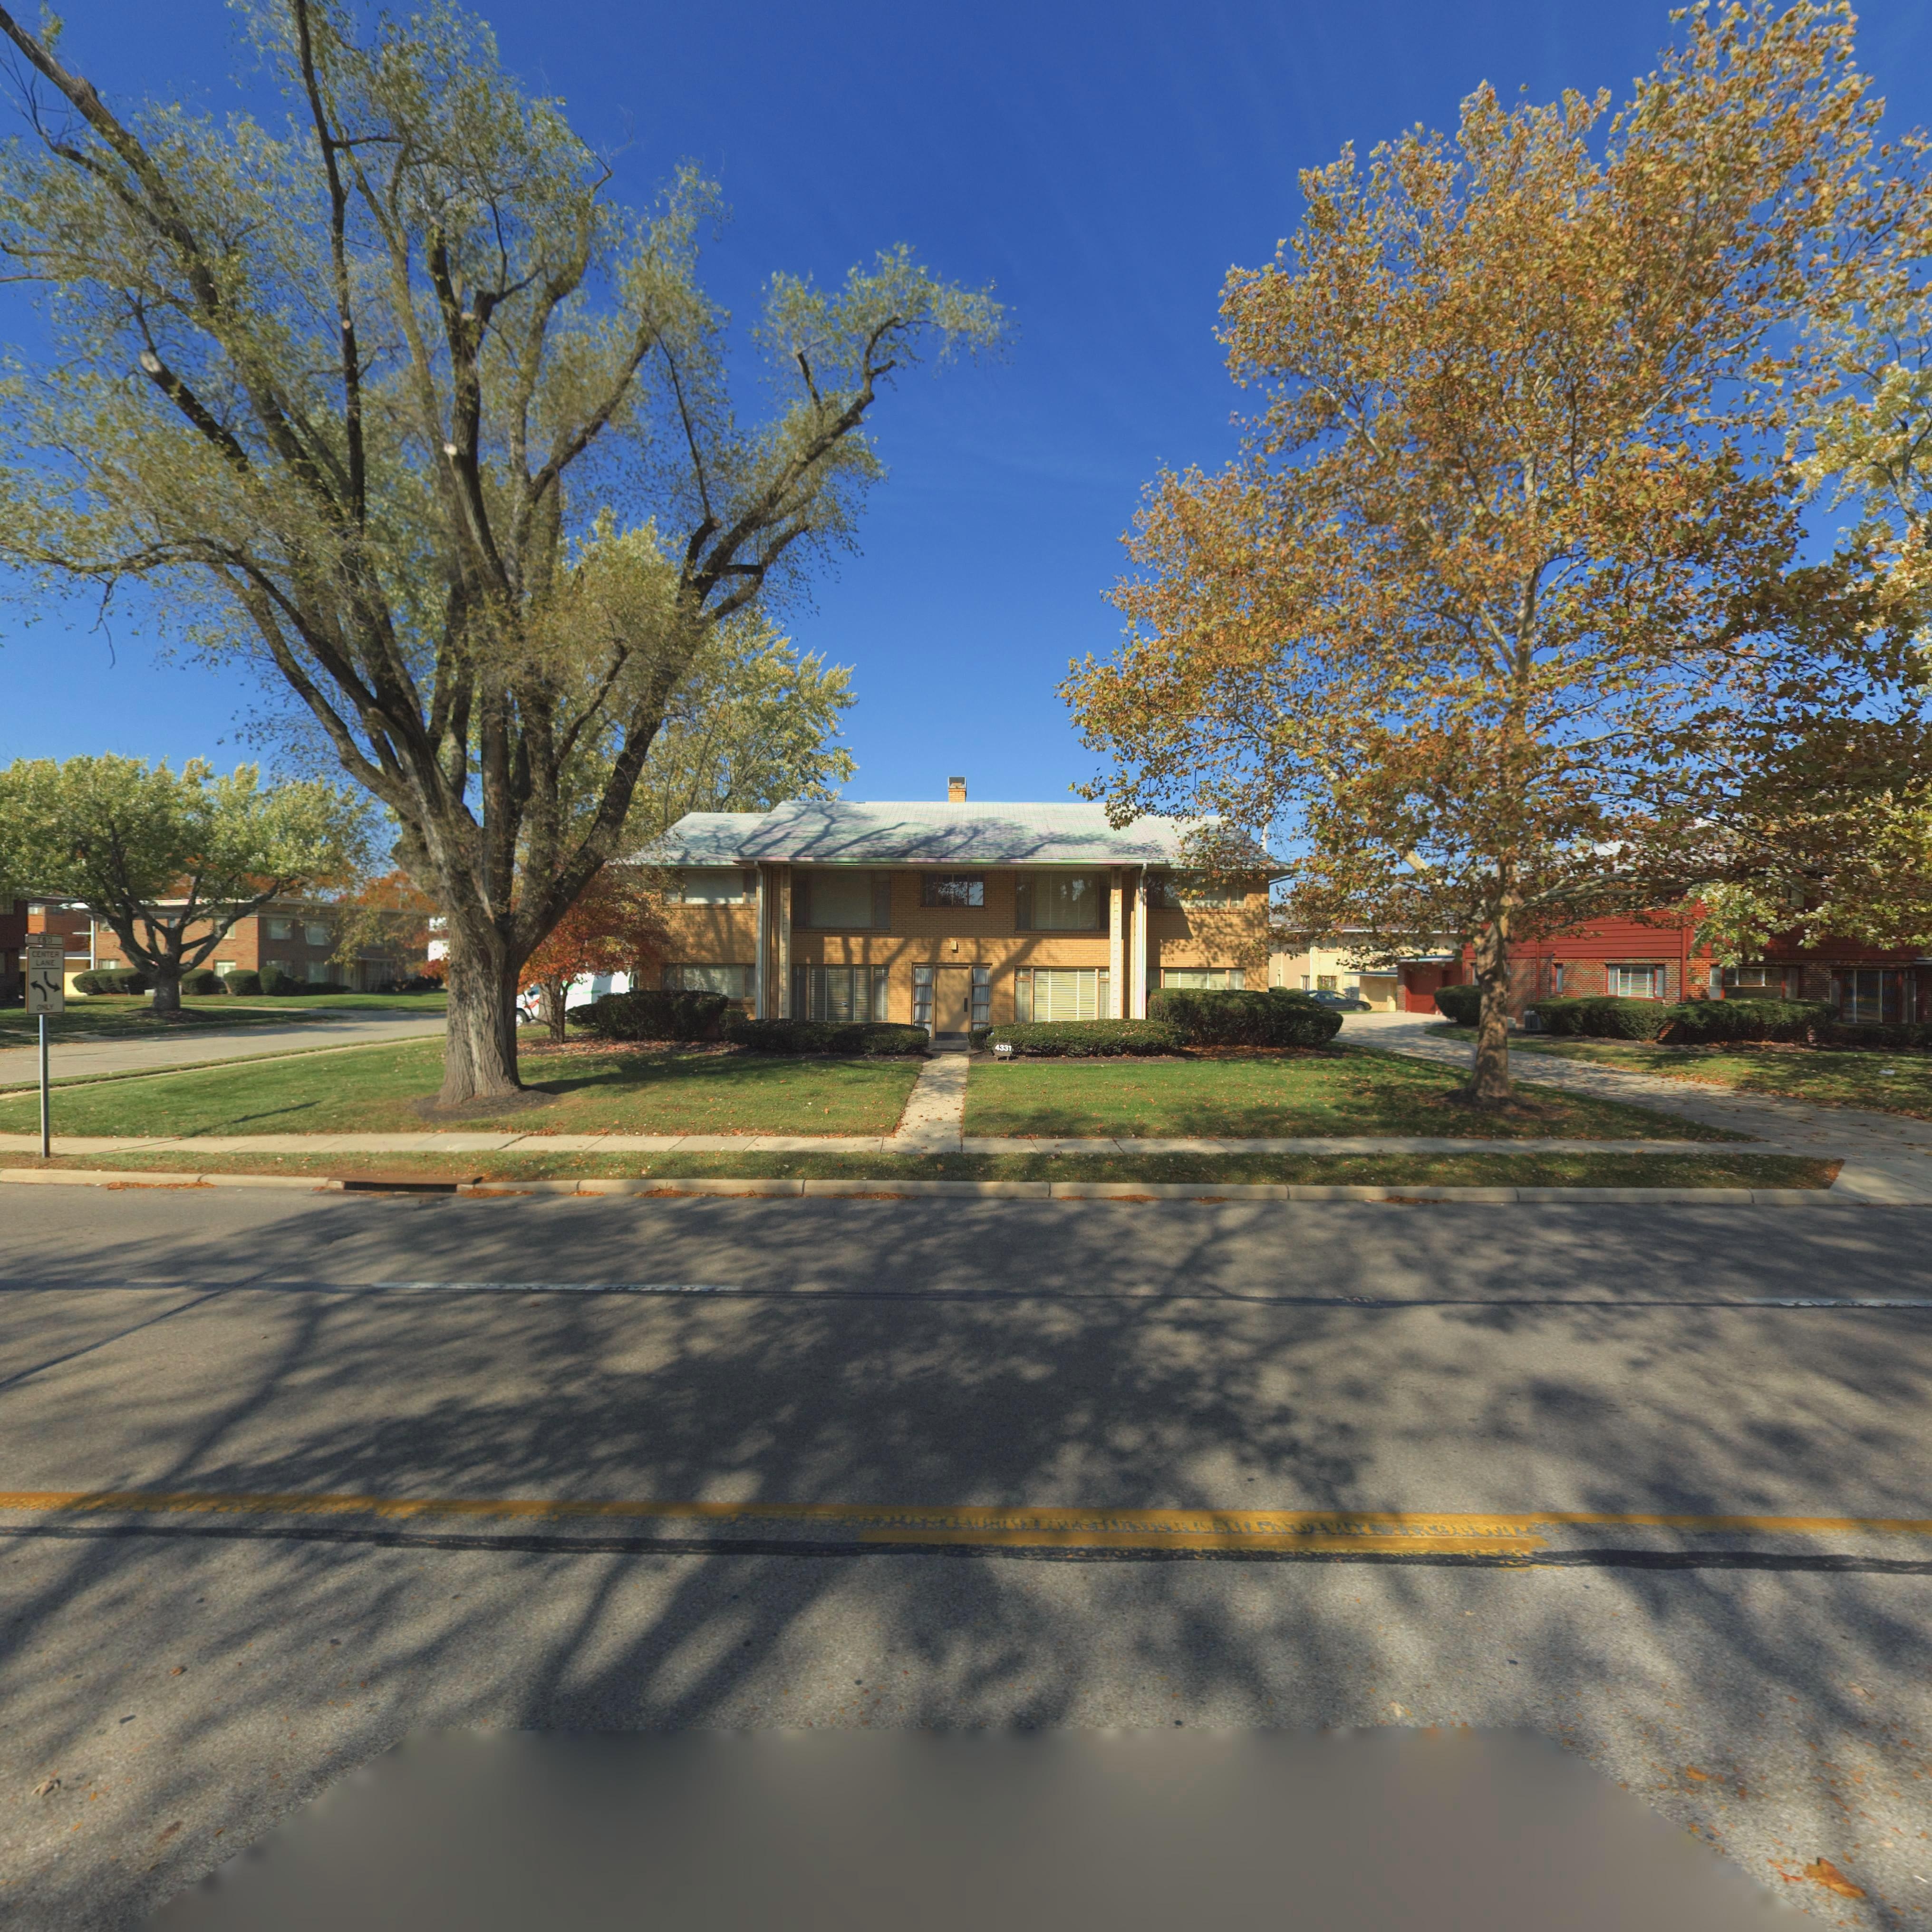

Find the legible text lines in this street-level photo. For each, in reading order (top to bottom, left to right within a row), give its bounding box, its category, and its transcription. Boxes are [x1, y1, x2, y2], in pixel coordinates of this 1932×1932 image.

[994, 1043, 1013, 1053] StreetNumber: 4331